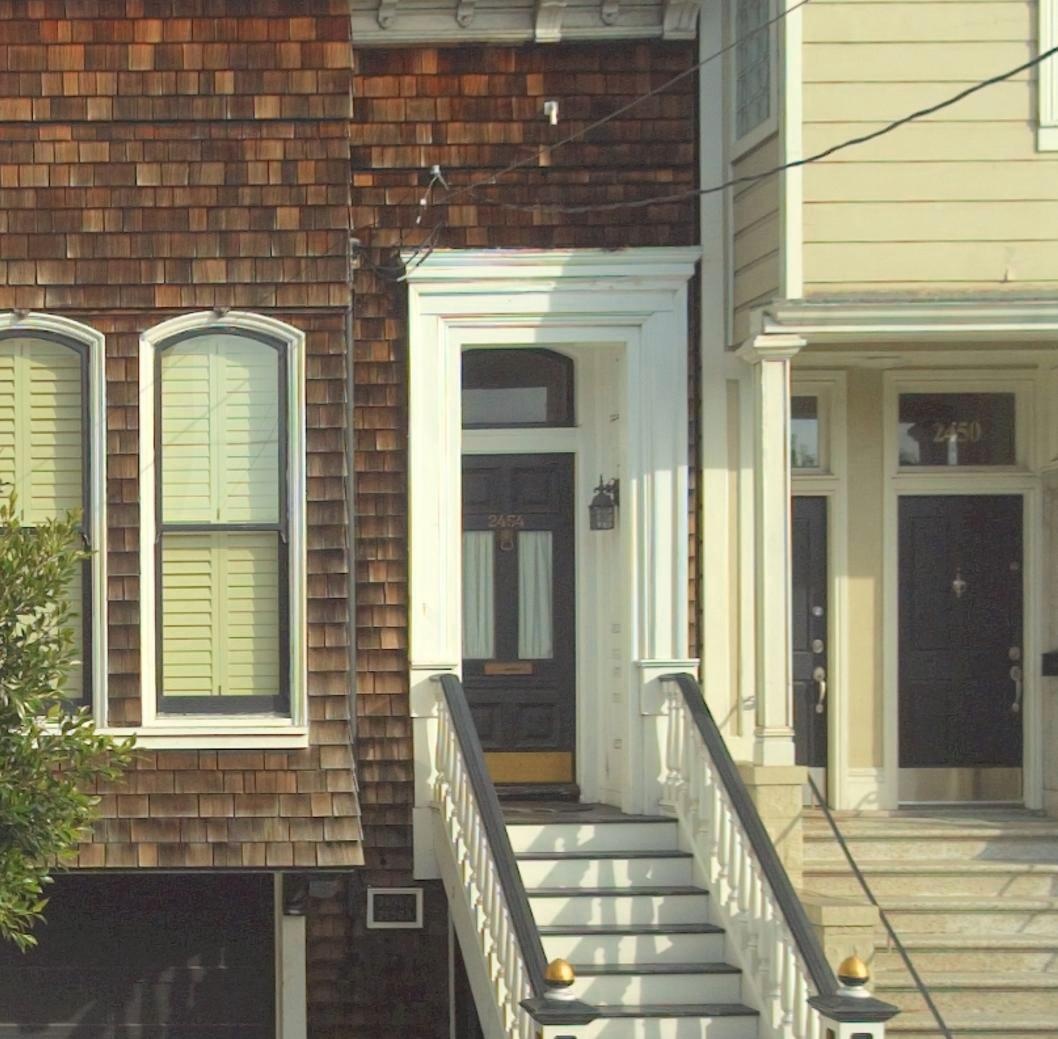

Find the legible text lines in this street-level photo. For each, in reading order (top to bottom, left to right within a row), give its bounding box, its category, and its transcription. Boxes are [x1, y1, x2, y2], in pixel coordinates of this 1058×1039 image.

[927, 416, 986, 447] StreetNumber: 2450
[485, 512, 527, 530] StreetNumber: 2454